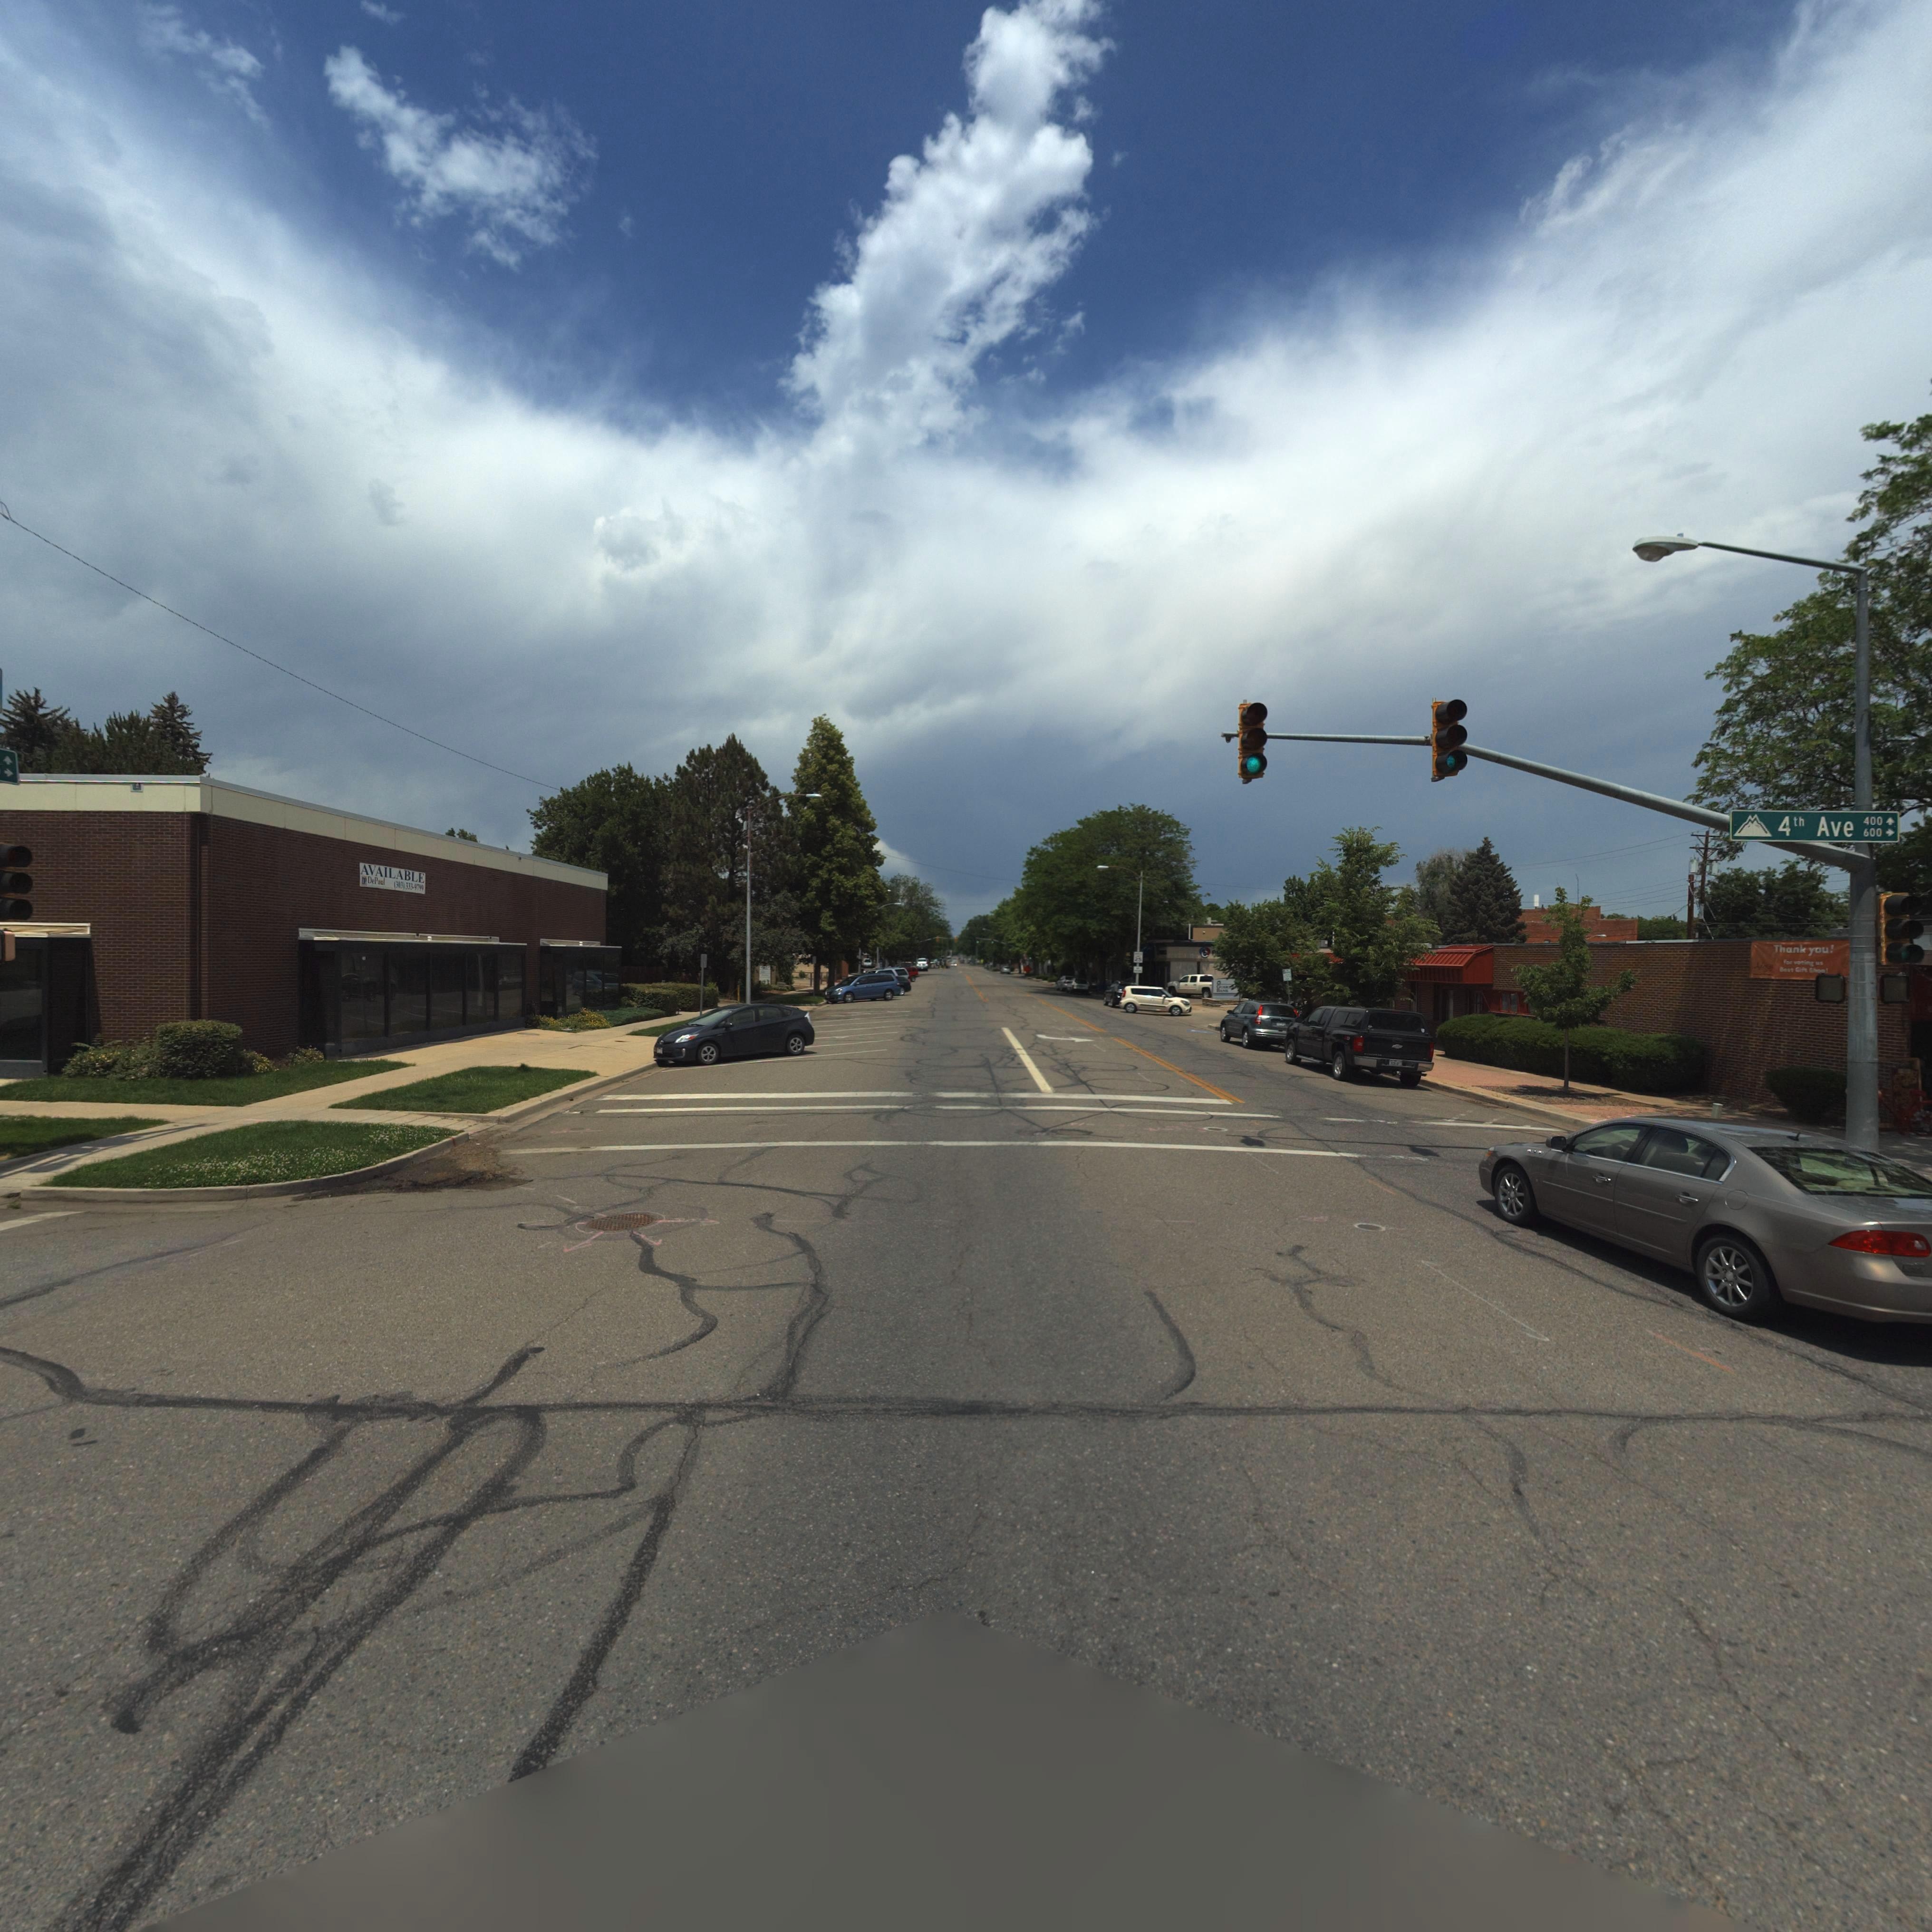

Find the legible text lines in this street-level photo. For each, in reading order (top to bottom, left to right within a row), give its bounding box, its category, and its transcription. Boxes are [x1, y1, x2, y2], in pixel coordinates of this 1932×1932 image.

[1862, 816, 1883, 825] StreetNumberRange: 400
[1776, 815, 1854, 838] StreetName: 4th Ave
[1863, 827, 1895, 837] StreetNumberRange: 600->
[1752, 961, 1774, 972] BusinessName: A****